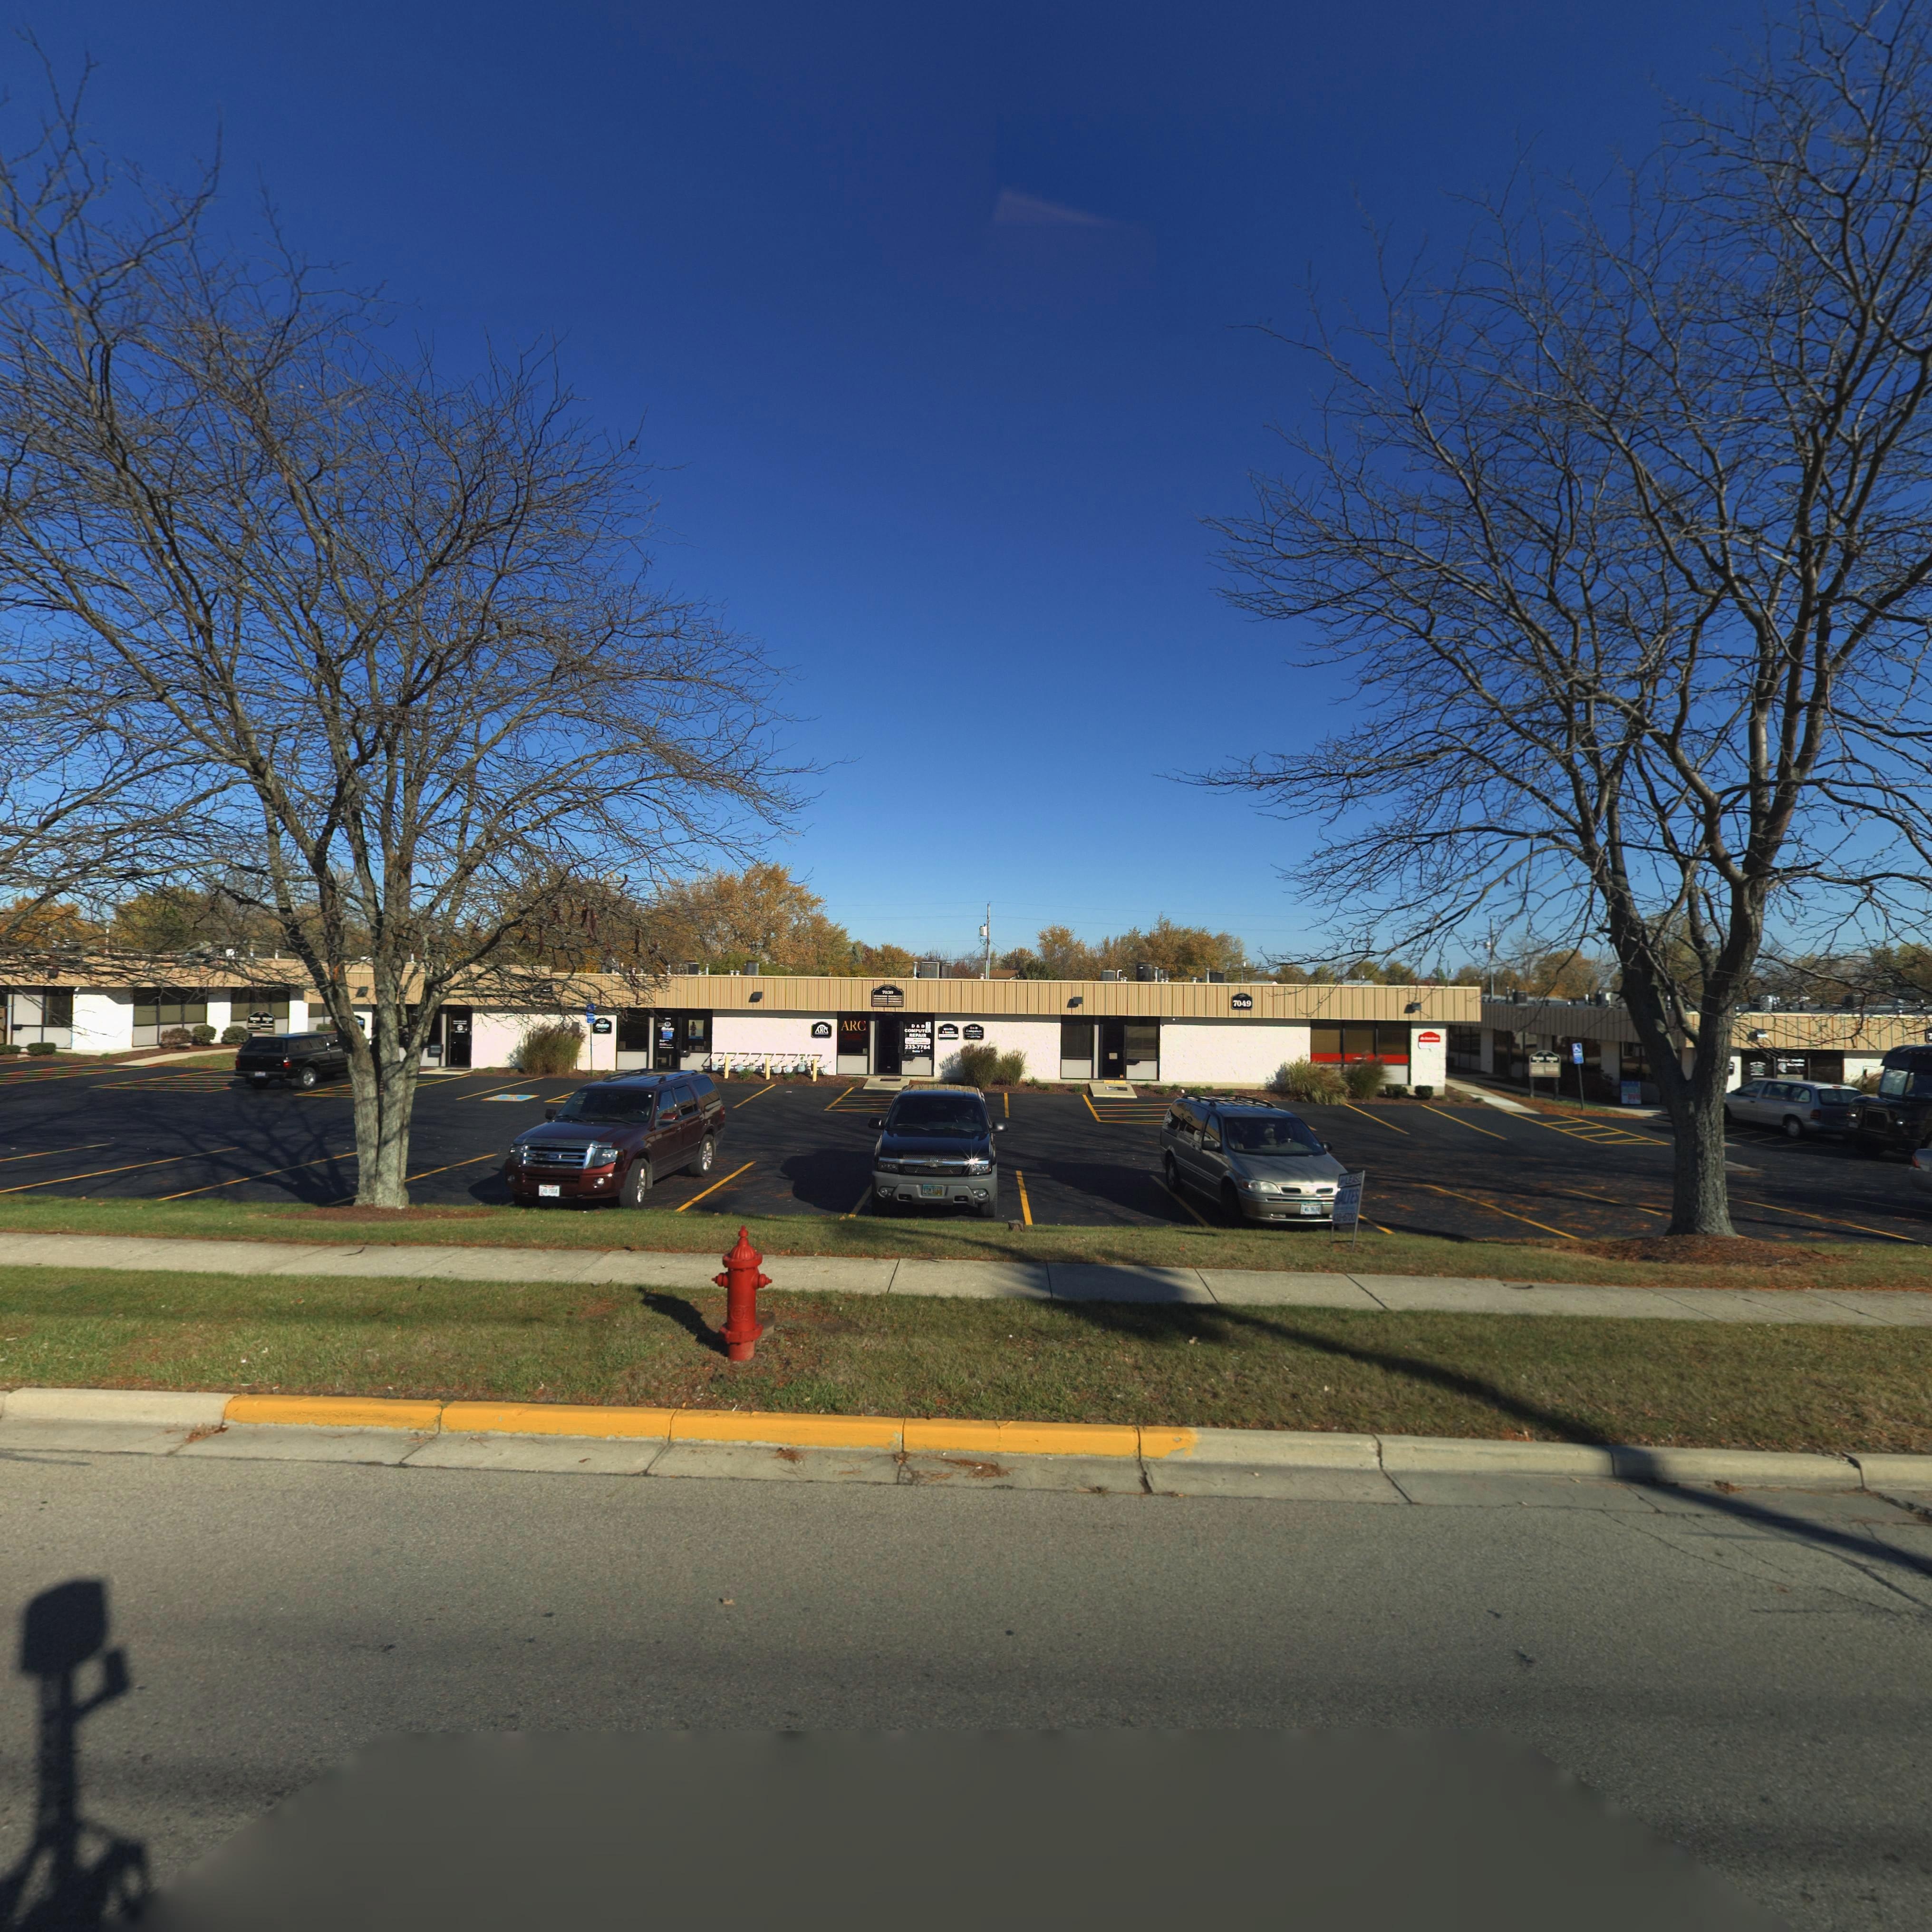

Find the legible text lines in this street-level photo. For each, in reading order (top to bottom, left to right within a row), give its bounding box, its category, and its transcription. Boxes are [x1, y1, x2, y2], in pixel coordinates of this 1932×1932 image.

[881, 989, 895, 995] StreetNumber: 7***
[1232, 999, 1252, 1008] StreetNumber: 7049
[840, 1019, 867, 1032] BusinessName: ARC
[910, 1024, 926, 1029] BusinessName: D & D
[814, 1026, 829, 1034] BusinessName: AR*
[903, 1028, 932, 1034] BusinessName: COMPUTER
[908, 1033, 927, 1038] BusinessName: REPAIR